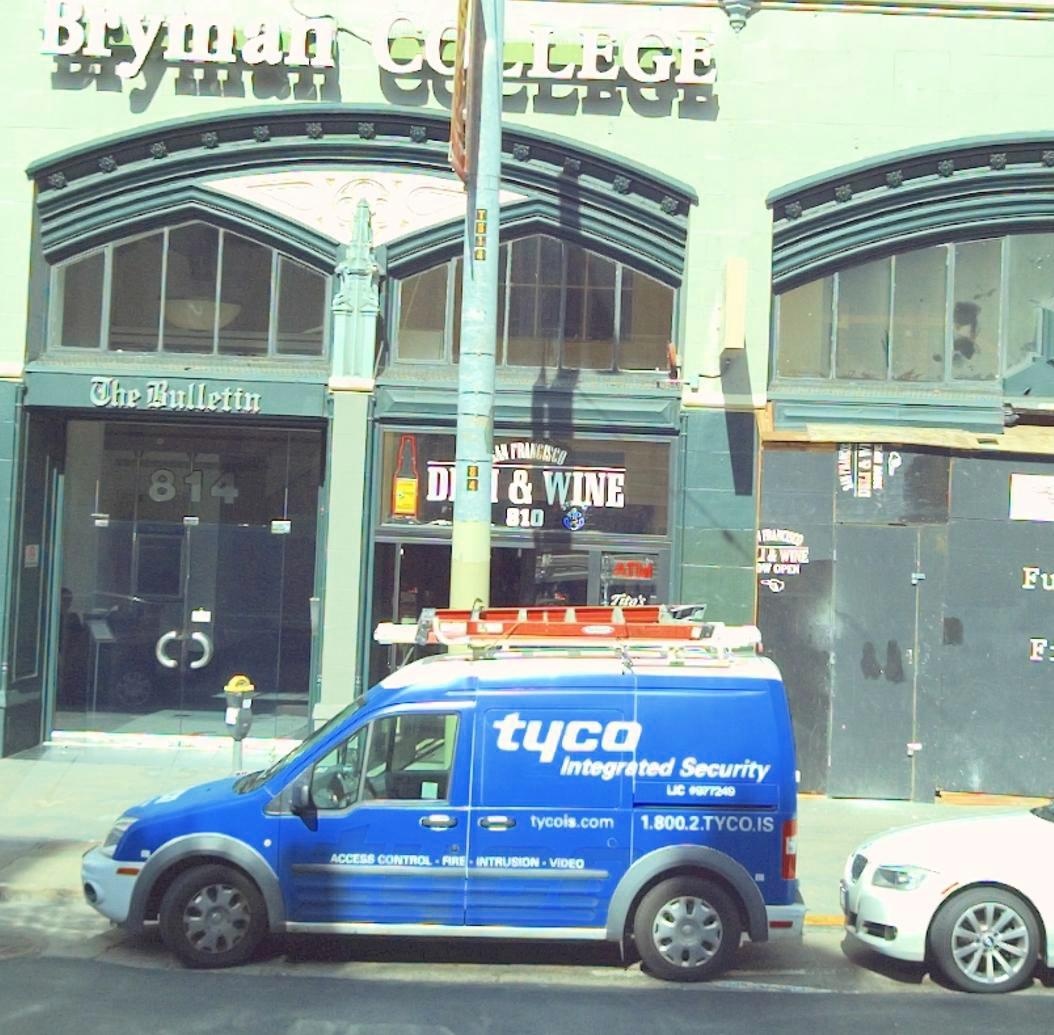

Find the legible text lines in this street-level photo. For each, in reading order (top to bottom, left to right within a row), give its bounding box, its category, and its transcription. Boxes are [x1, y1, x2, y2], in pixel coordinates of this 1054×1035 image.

[76, 4, 724, 92] BusinessName: Bryman CO*LEGE
[473, 206, 490, 263] None: T014
[86, 373, 266, 421] BusinessName: The Bulletin
[492, 440, 576, 470] BusinessName: AN FRANCISCO
[146, 466, 244, 509] StreetNumber: 814
[423, 461, 629, 512] BusinessName: D* & WINE
[504, 504, 547, 530] StreetNumber: 810
[760, 524, 807, 552] BusinessName: FRANCISCO
[613, 559, 659, 581] None: ATM
[761, 561, 806, 577] None: W OPEN
[767, 545, 812, 566] BusinessName: & WINE
[1016, 562, 1045, 594] None: F
[606, 589, 650, 613] None: Tito's
[1025, 633, 1052, 666] None: F
[488, 709, 647, 773] None: tyco
[553, 750, 778, 788] None: Integrated Security
[661, 781, 741, 799] None: LLC *977249
[526, 810, 616, 833] None: tycols.com
[637, 811, 777, 836] None: 1.800.2.TYCO.IS
[325, 850, 587, 872] None: ACCESS CONTROL-FIRE-INTRUSION-VIDEO